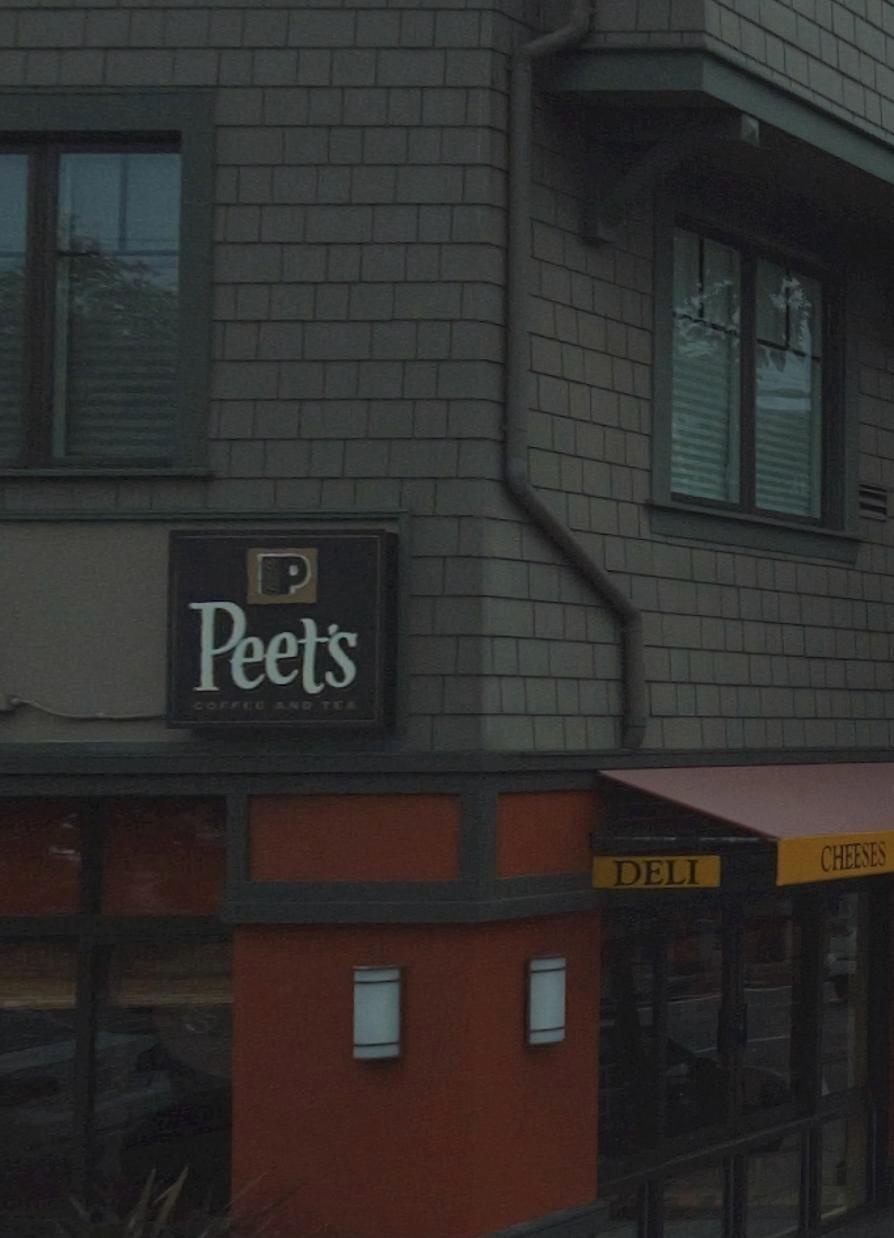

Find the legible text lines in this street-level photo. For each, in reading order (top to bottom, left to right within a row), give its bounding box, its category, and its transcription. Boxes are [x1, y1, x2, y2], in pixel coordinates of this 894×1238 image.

[278, 555, 308, 596] None: P
[188, 600, 359, 696] BusinessName: Peet's
[189, 698, 360, 712] None: COFFEE AND TEA
[613, 859, 701, 887] None: DELI
[820, 840, 887, 873] None: CHEESES